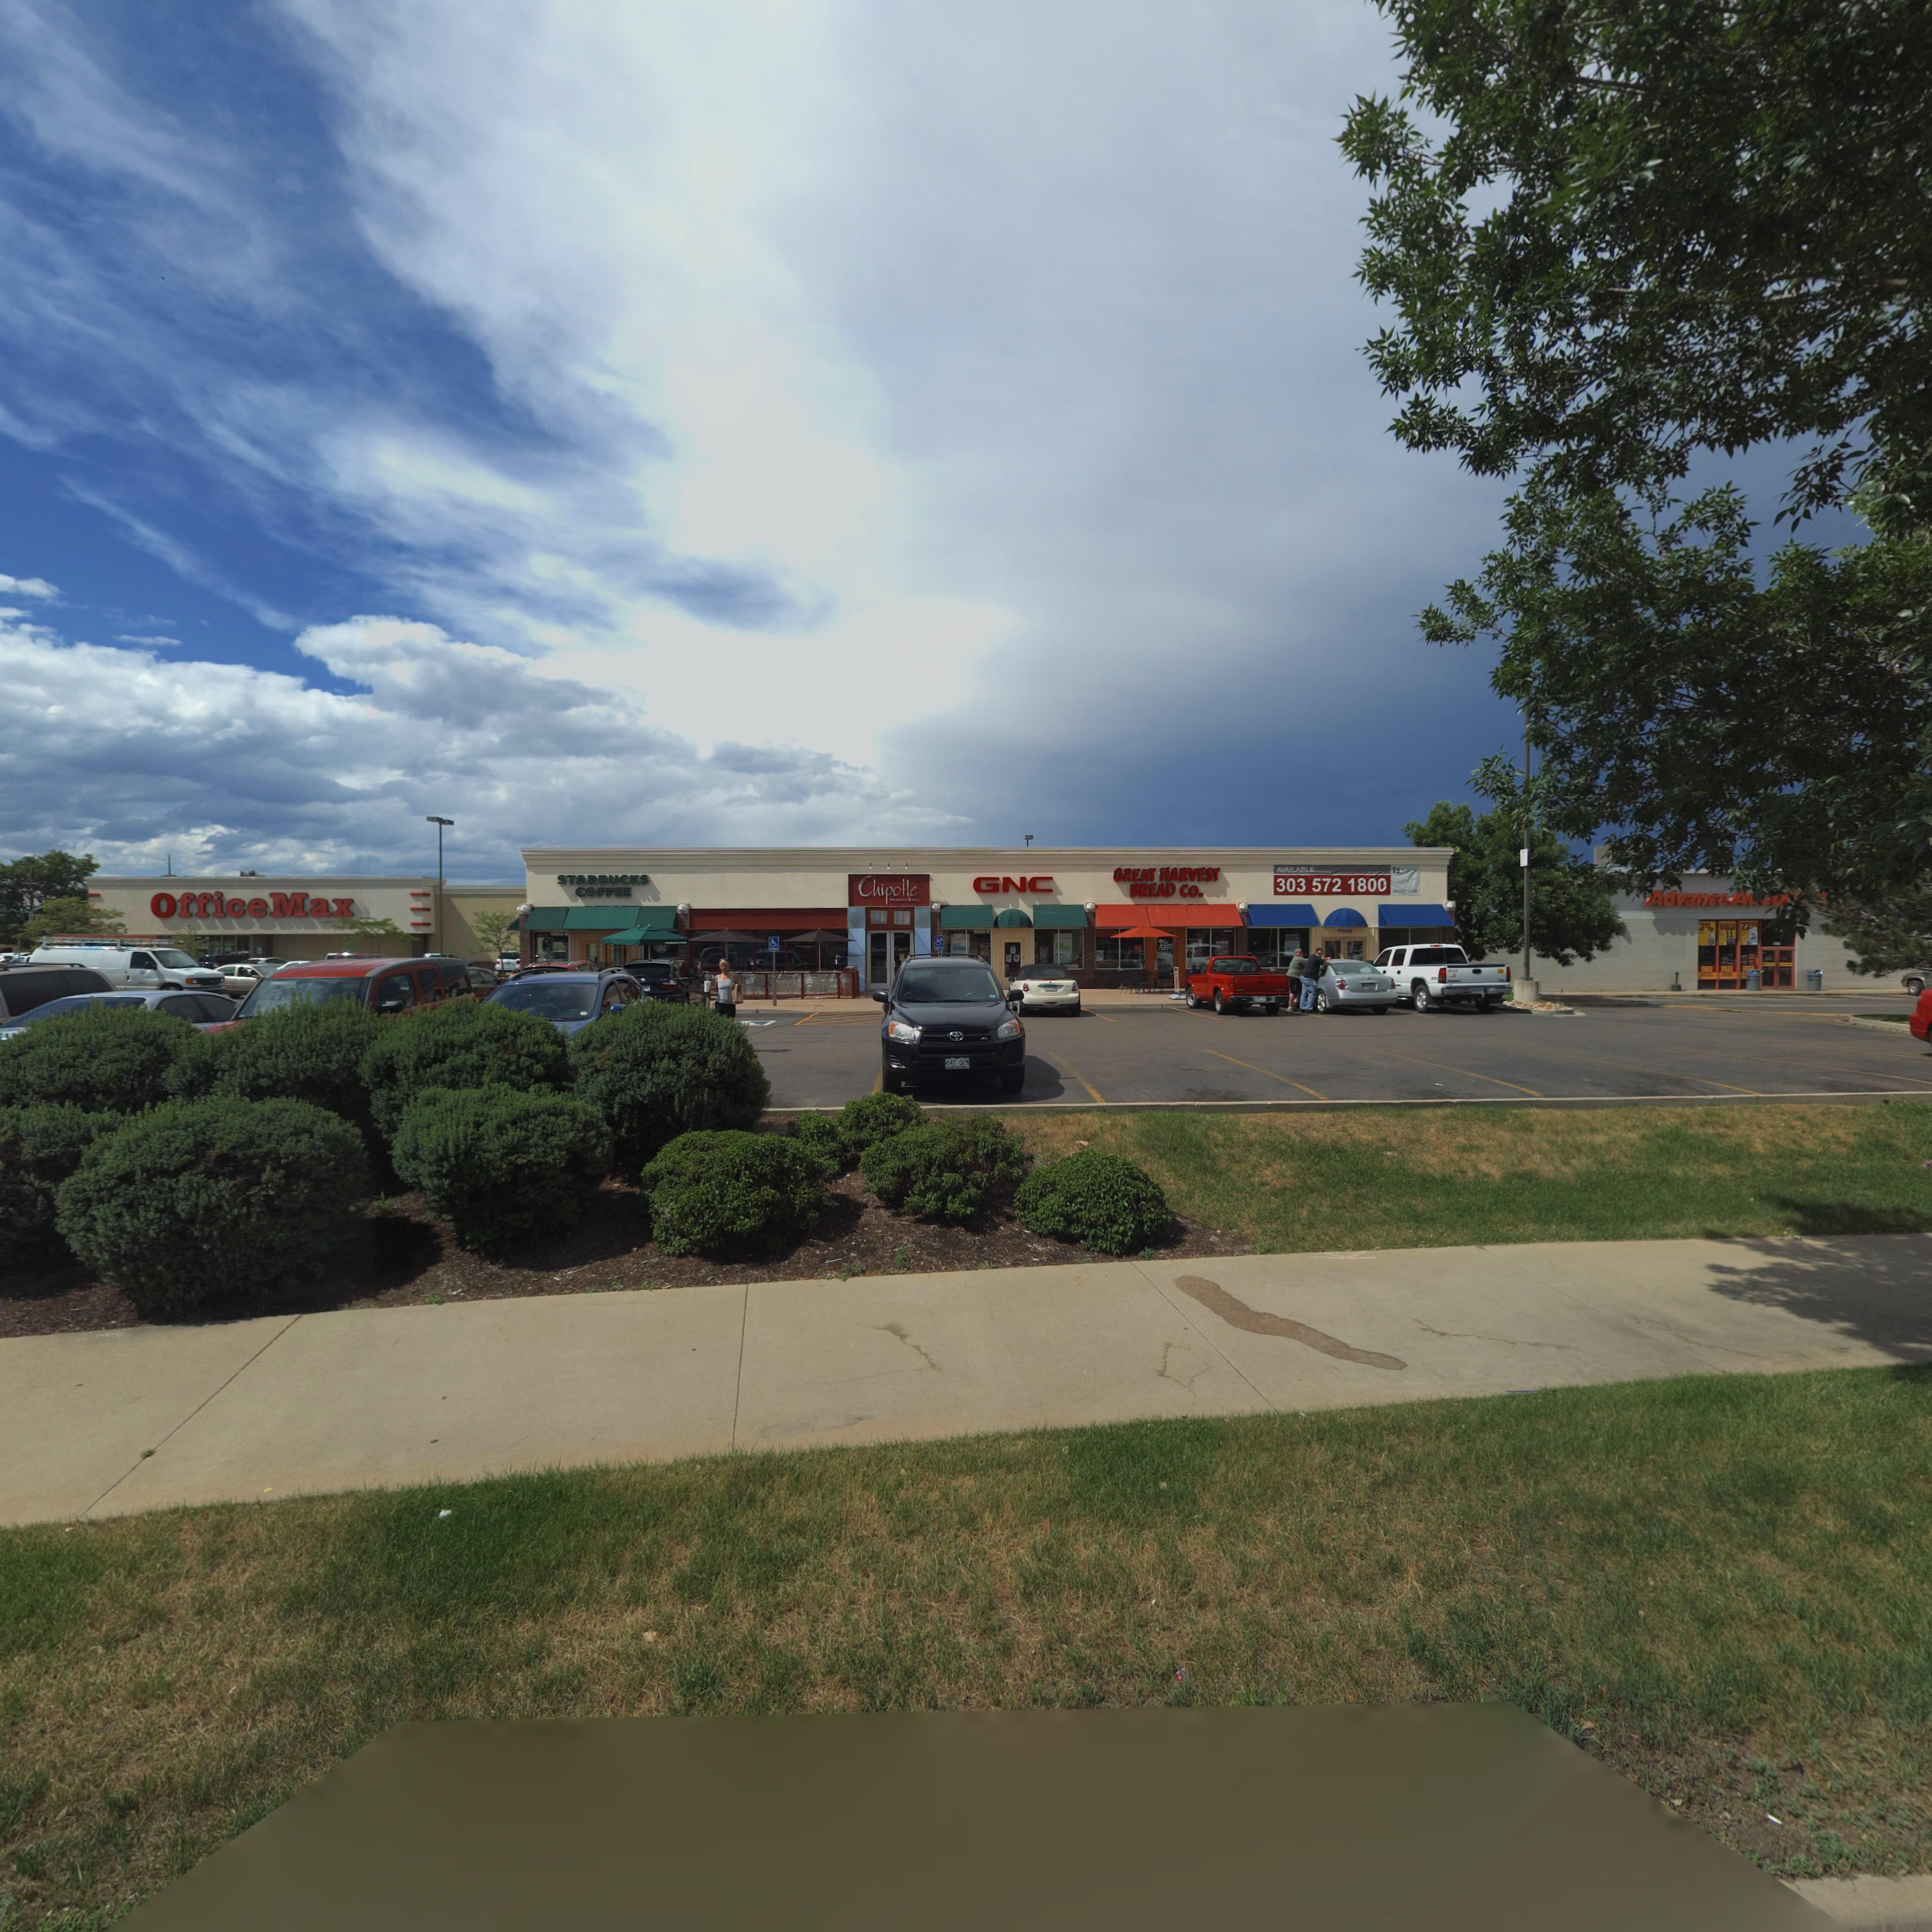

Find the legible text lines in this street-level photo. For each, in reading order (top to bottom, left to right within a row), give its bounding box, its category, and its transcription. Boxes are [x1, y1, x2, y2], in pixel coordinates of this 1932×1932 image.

[1113, 866, 1221, 882] BusinessName: GREAT HARVEST
[557, 874, 649, 886] BusinessName: STARBUCKS
[972, 876, 1053, 893] BusinessName: GNC
[575, 886, 631, 898] BusinessName: COFFEE
[857, 875, 917, 906] BusinessName: Chipotle
[1130, 882, 1203, 897] BusinessName: BREAD Co.
[889, 897, 920, 902] BusinessName: MEXICAN GRILL
[1643, 889, 1785, 906] BusinessName: Advance A***
[150, 890, 355, 918] BusinessName: Office Max
[551, 931, 564, 936] StreetNumber: 1100
[564, 931, 568, 936] SecondaryUnitDesignator: A
[973, 929, 986, 934] StreetNumber: 1100
[986, 929, 990, 934] SecondaryUnitDesignator: C
[1337, 928, 1348, 933] StreetNumber: 1100
[1349, 928, 1352, 933] SecondaryUnitDesignator: E
[871, 947, 886, 953] BusinessName: Chipotle
[894, 946, 909, 952] BusinessName: Chipotle